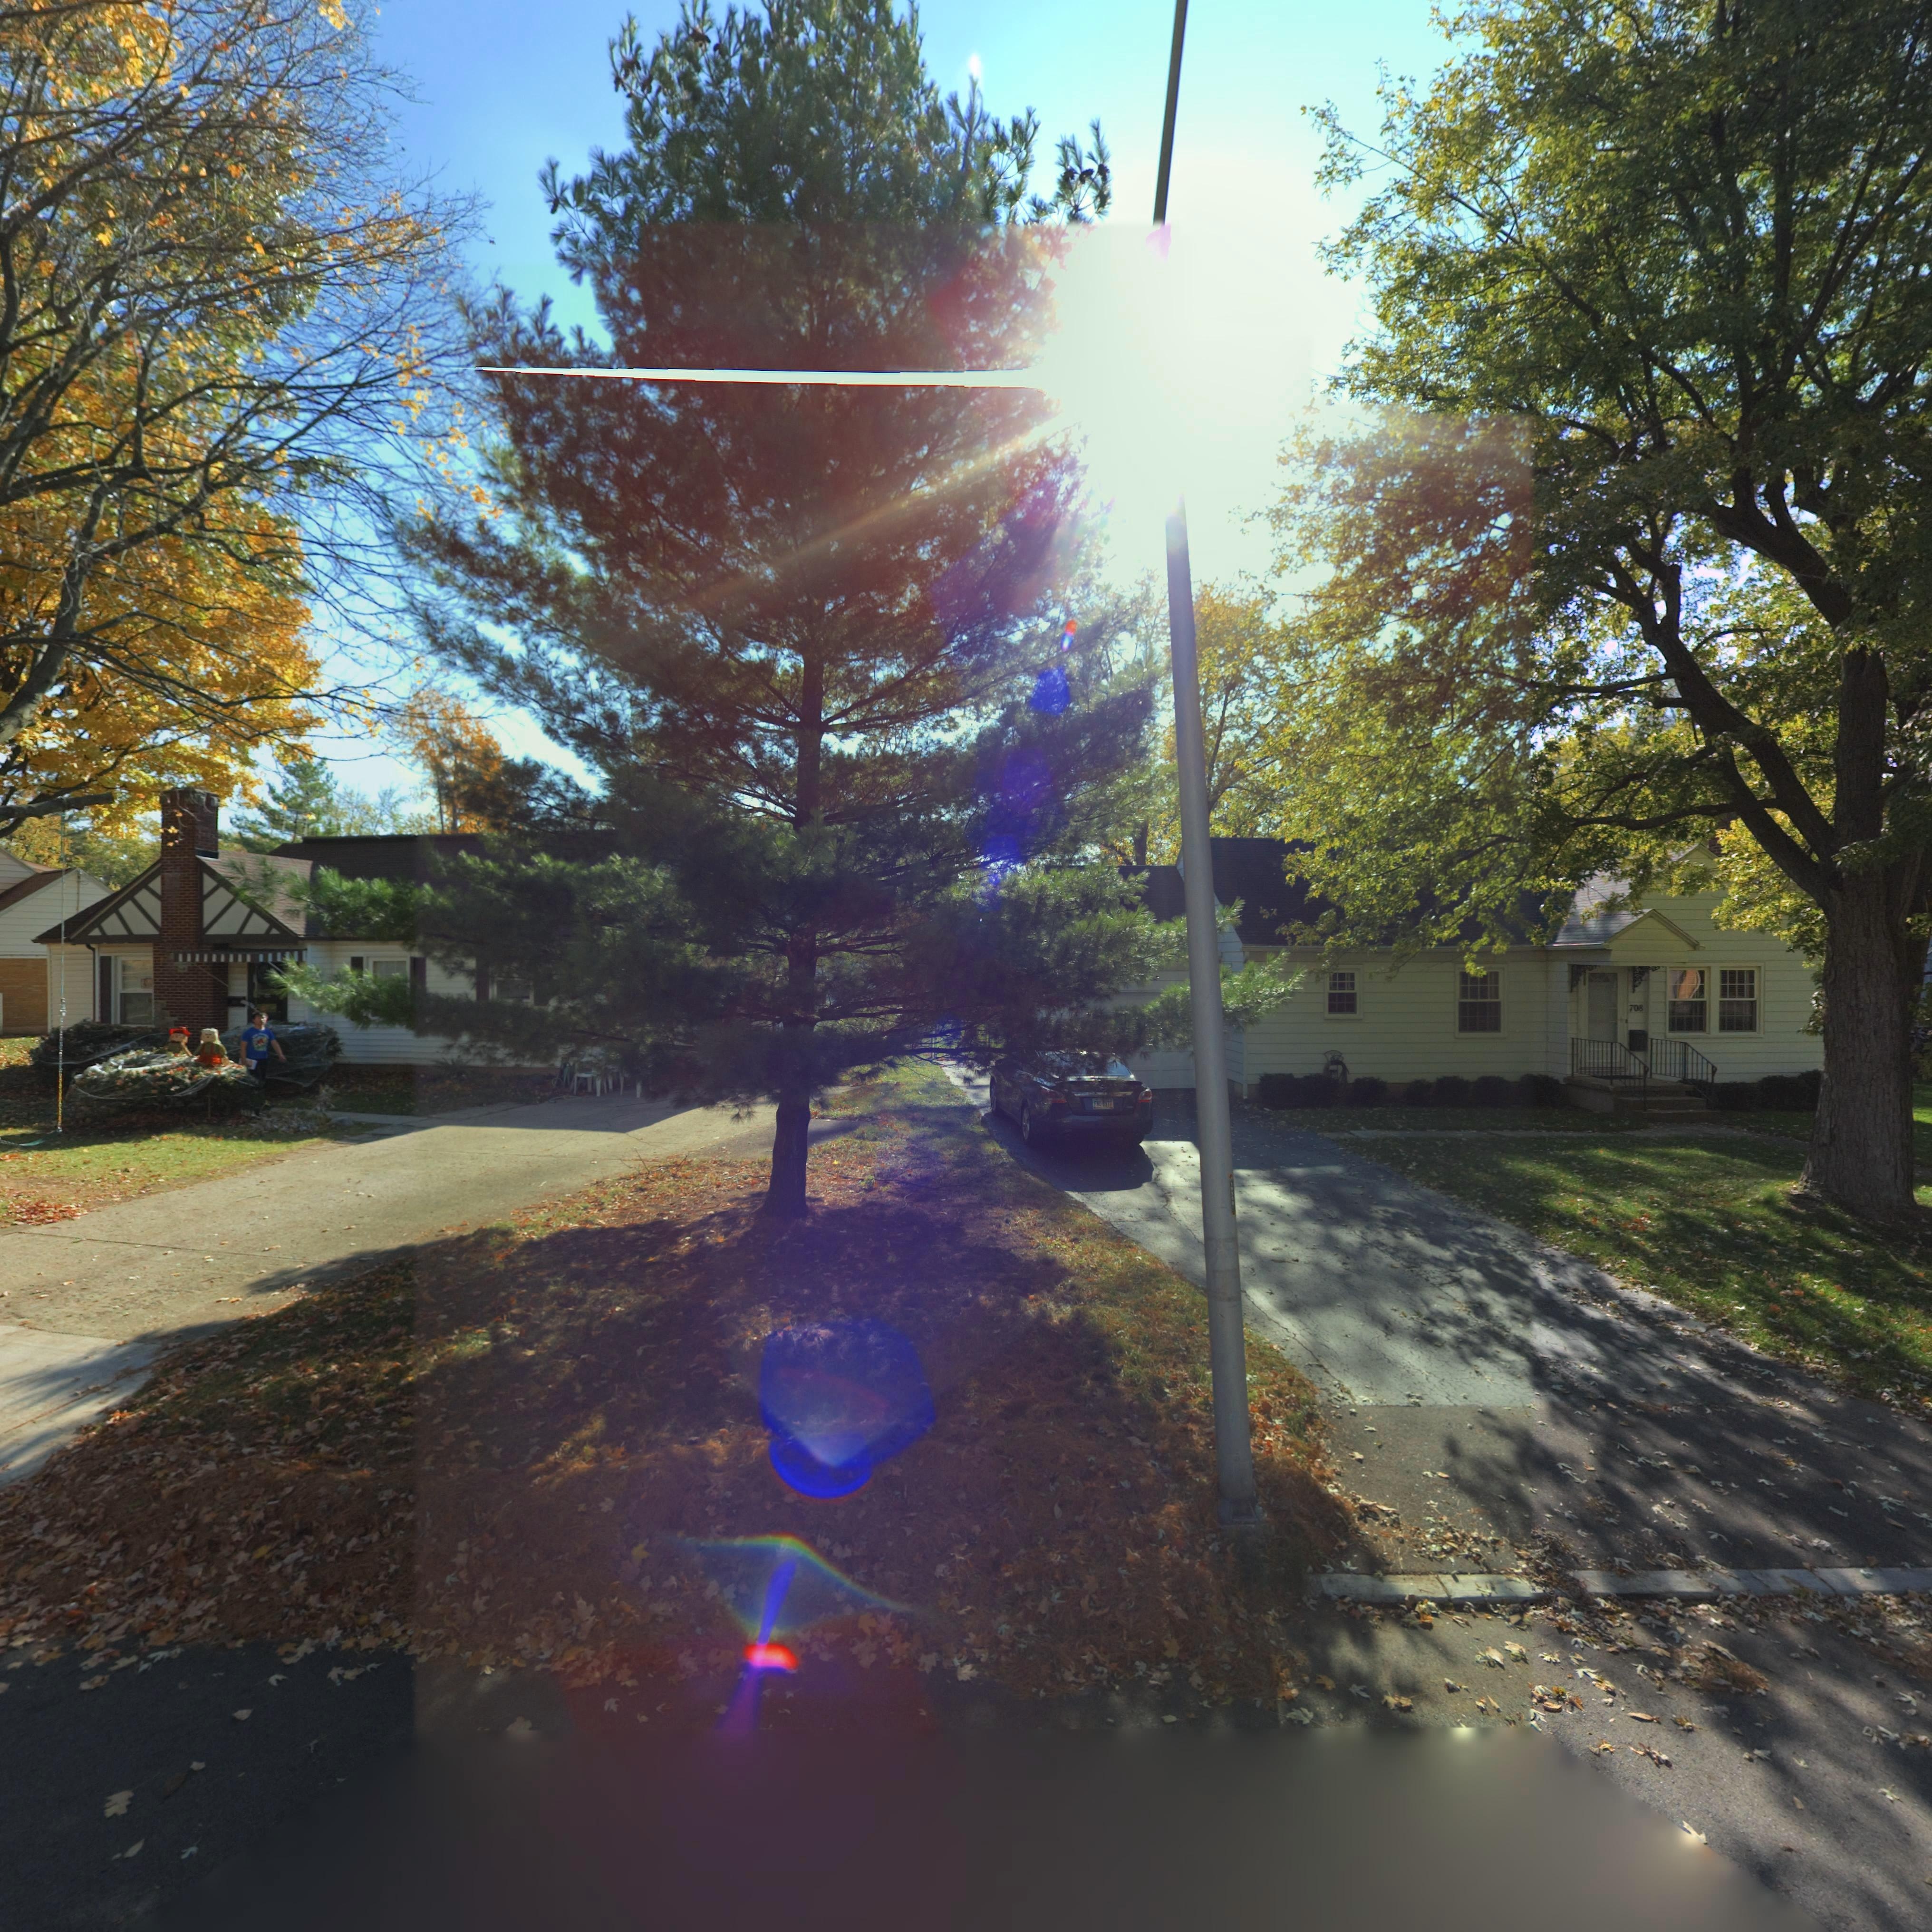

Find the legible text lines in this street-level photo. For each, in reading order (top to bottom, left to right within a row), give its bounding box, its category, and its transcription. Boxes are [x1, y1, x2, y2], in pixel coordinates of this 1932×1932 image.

[1628, 1003, 1644, 1013] StreetNumber: 708